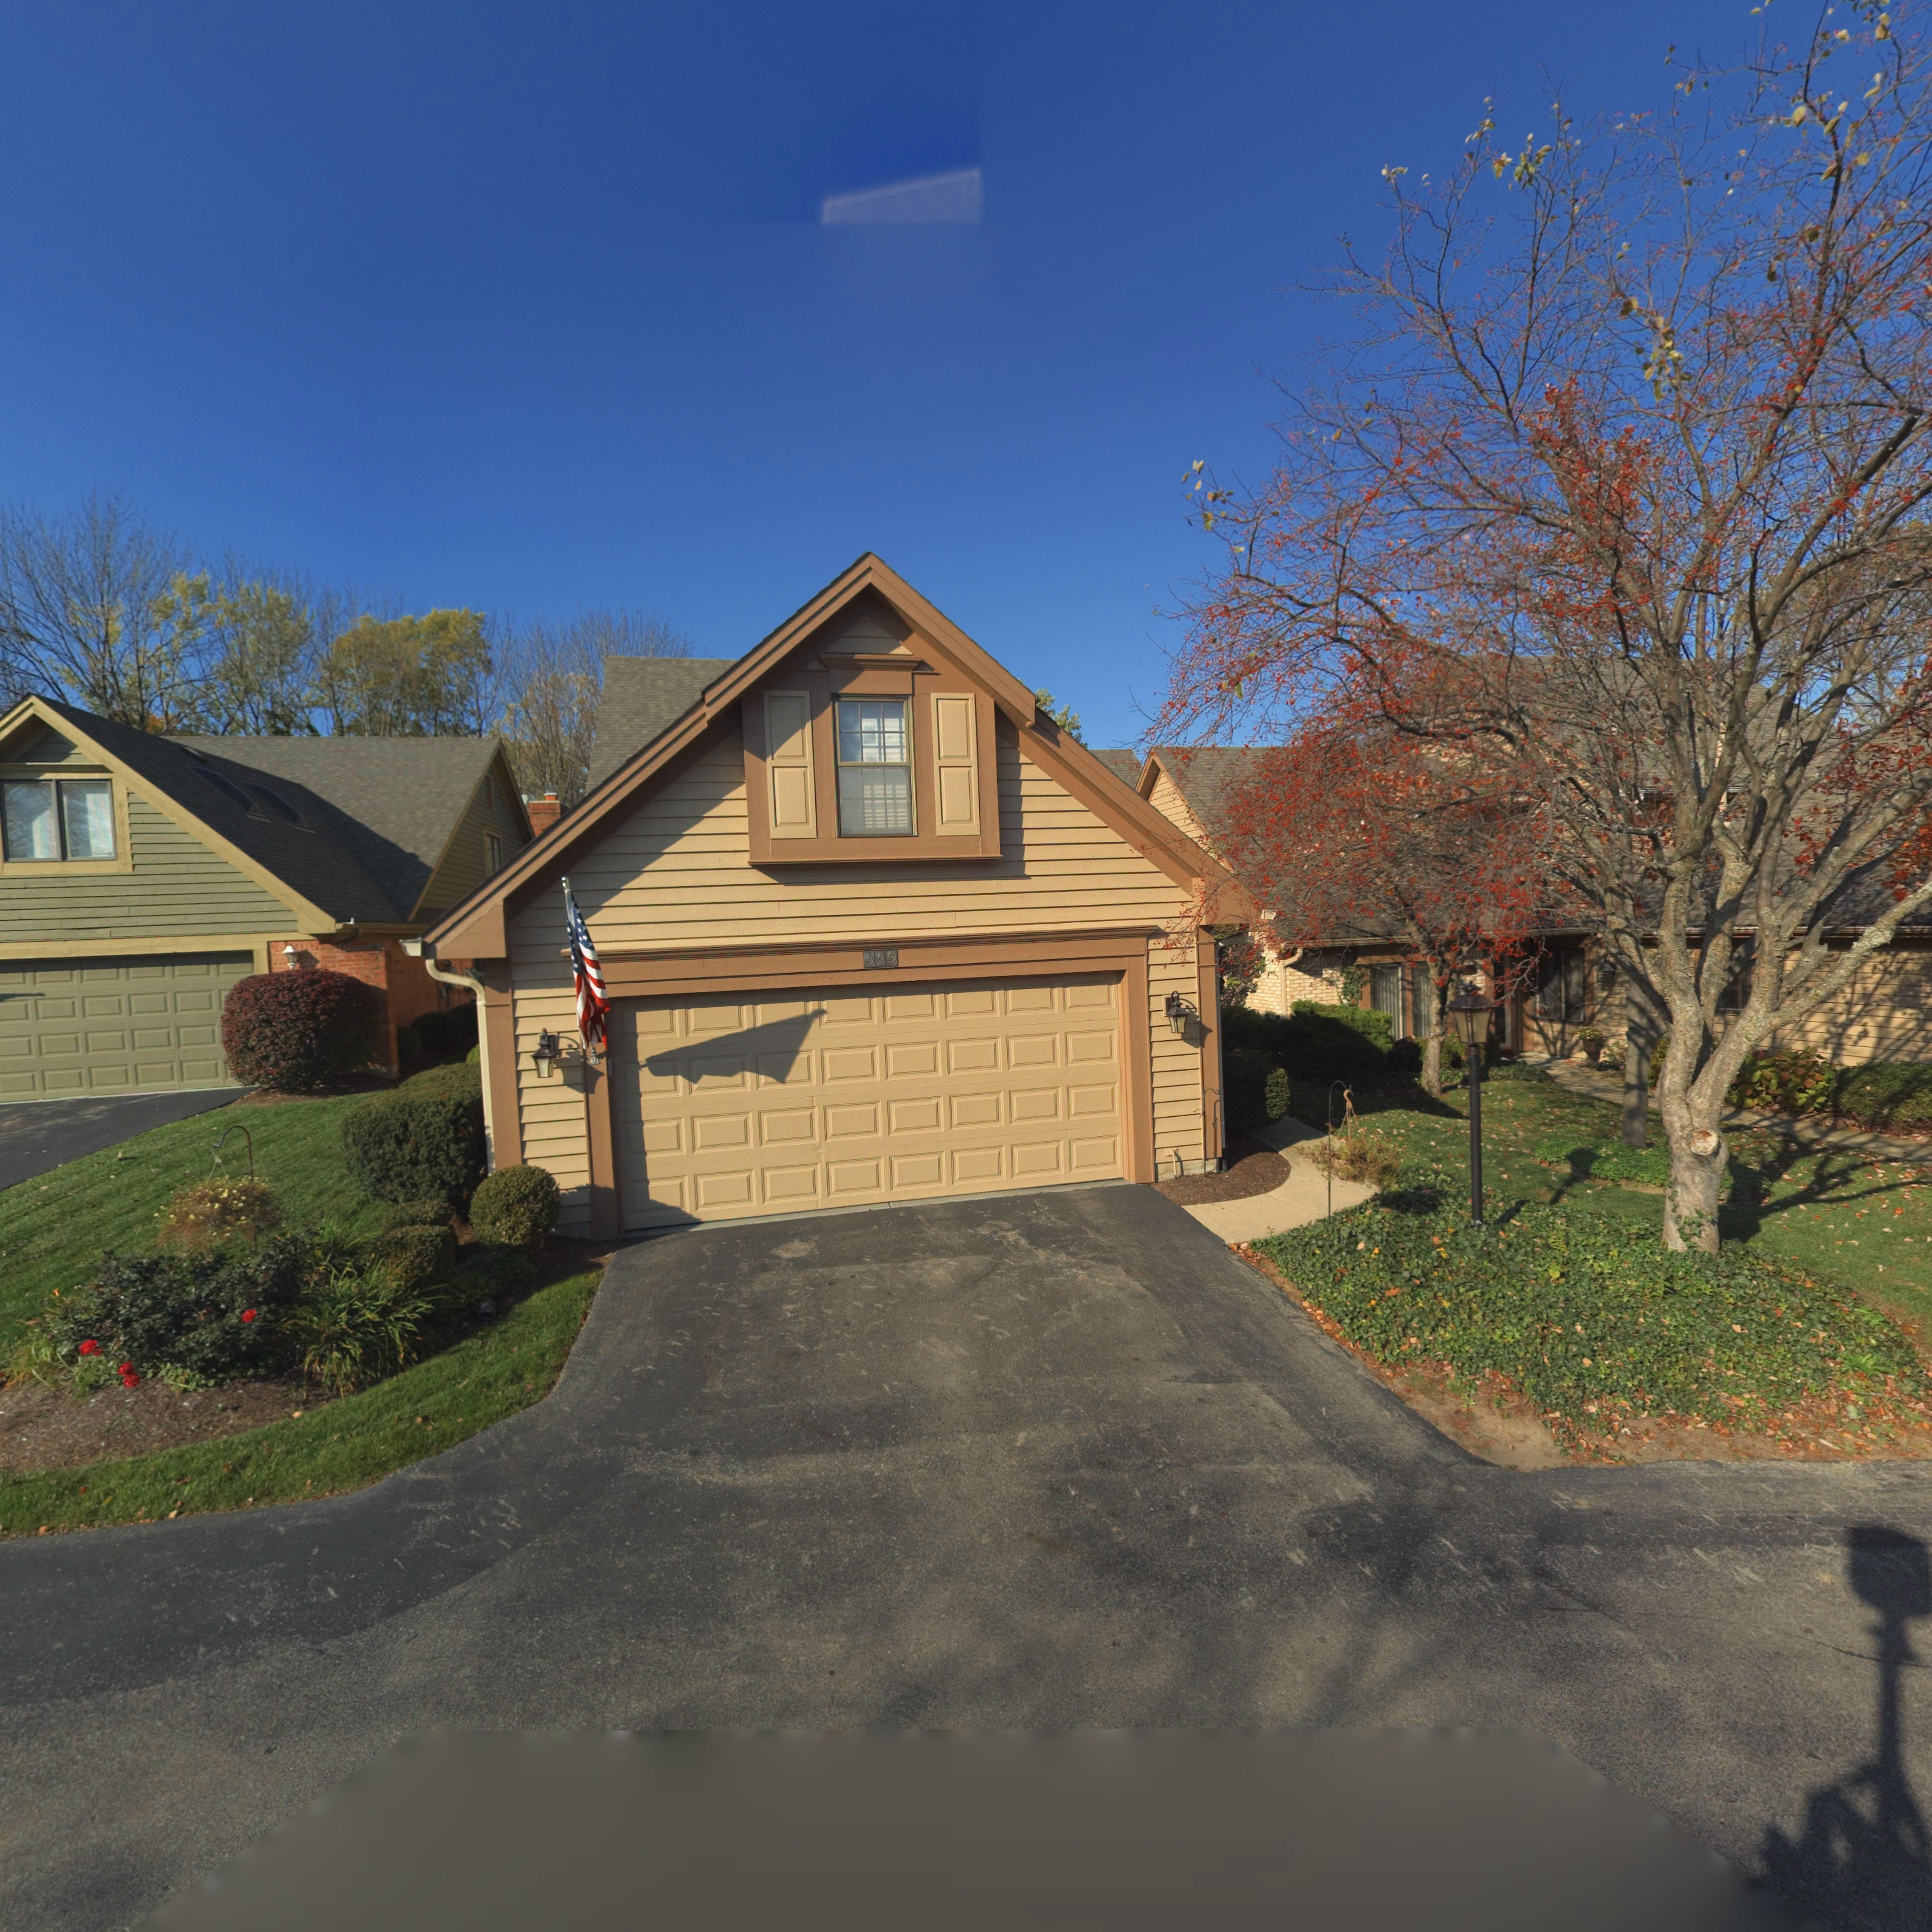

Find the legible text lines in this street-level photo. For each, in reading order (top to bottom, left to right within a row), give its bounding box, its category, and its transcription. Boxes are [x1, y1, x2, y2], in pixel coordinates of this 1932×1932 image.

[863, 951, 898, 967] StreetNumber: 649